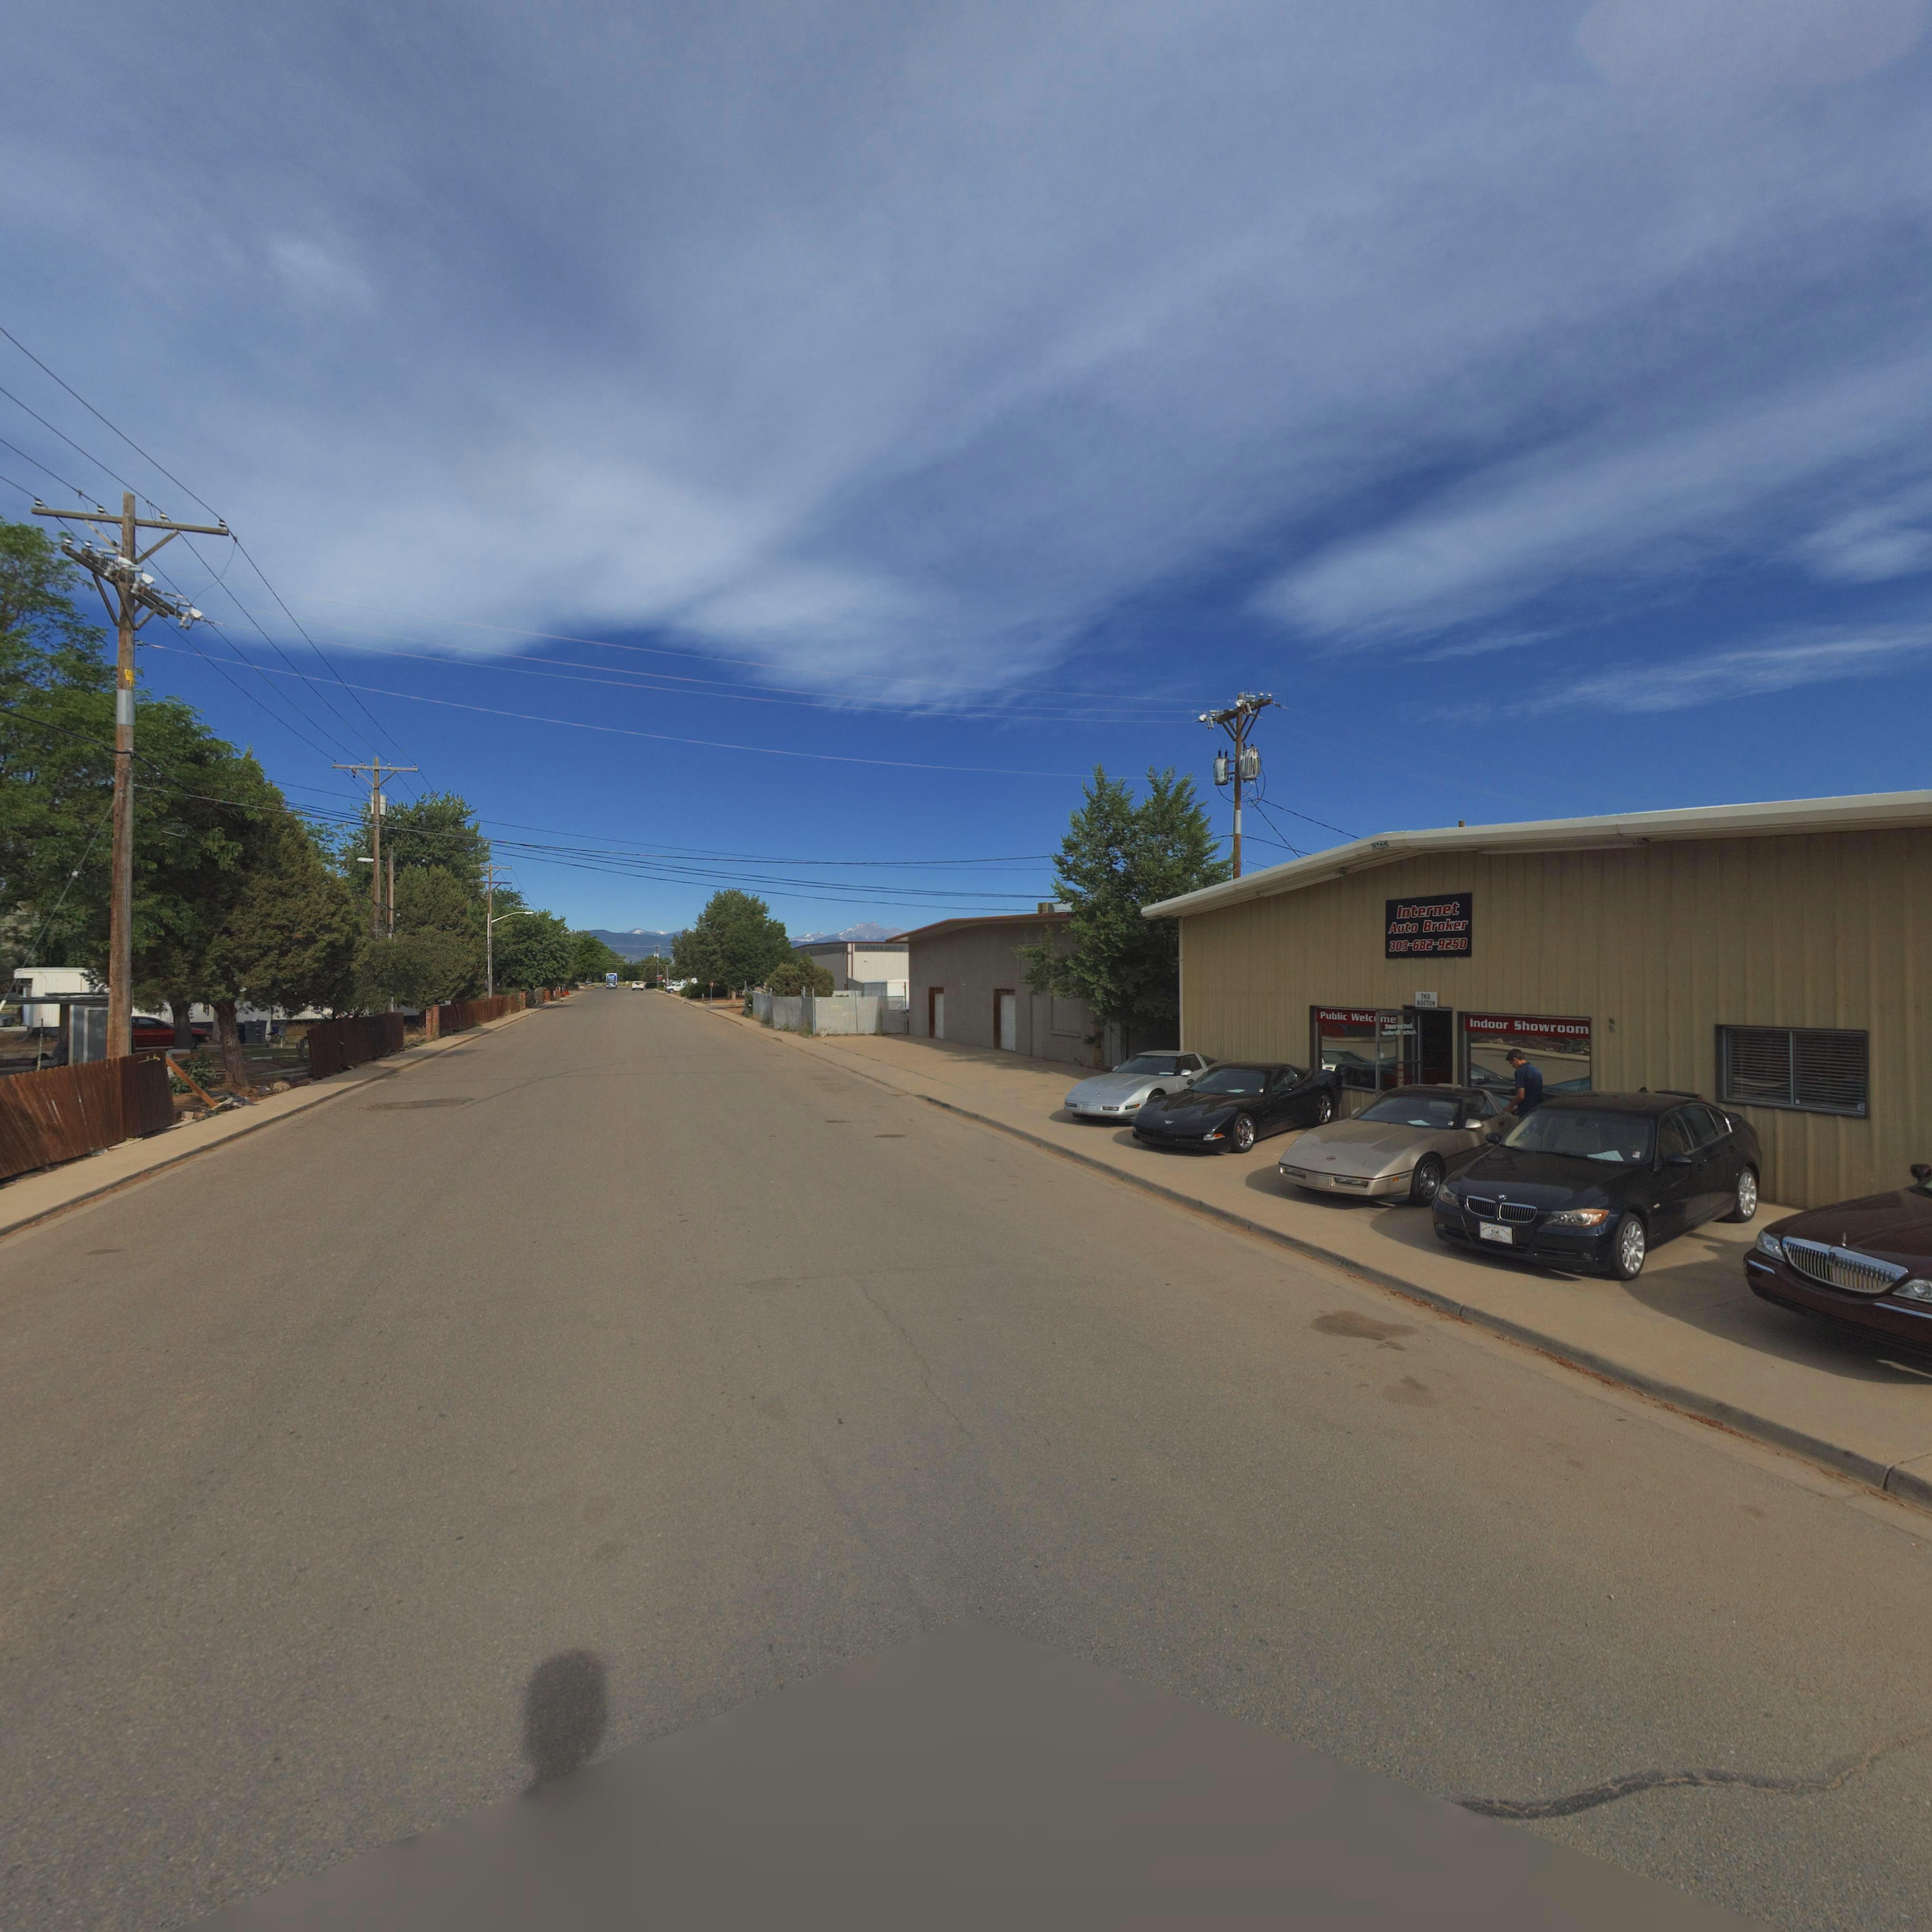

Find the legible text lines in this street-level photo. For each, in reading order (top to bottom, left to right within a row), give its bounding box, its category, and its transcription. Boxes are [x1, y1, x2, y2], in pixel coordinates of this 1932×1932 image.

[1395, 900, 1461, 919] BusinessName: Internet
[1387, 918, 1470, 934] BusinessName: Auto Broker
[1420, 993, 1430, 999] StreetNumber: 740
[1416, 999, 1436, 1006] StreetName: BOSTON